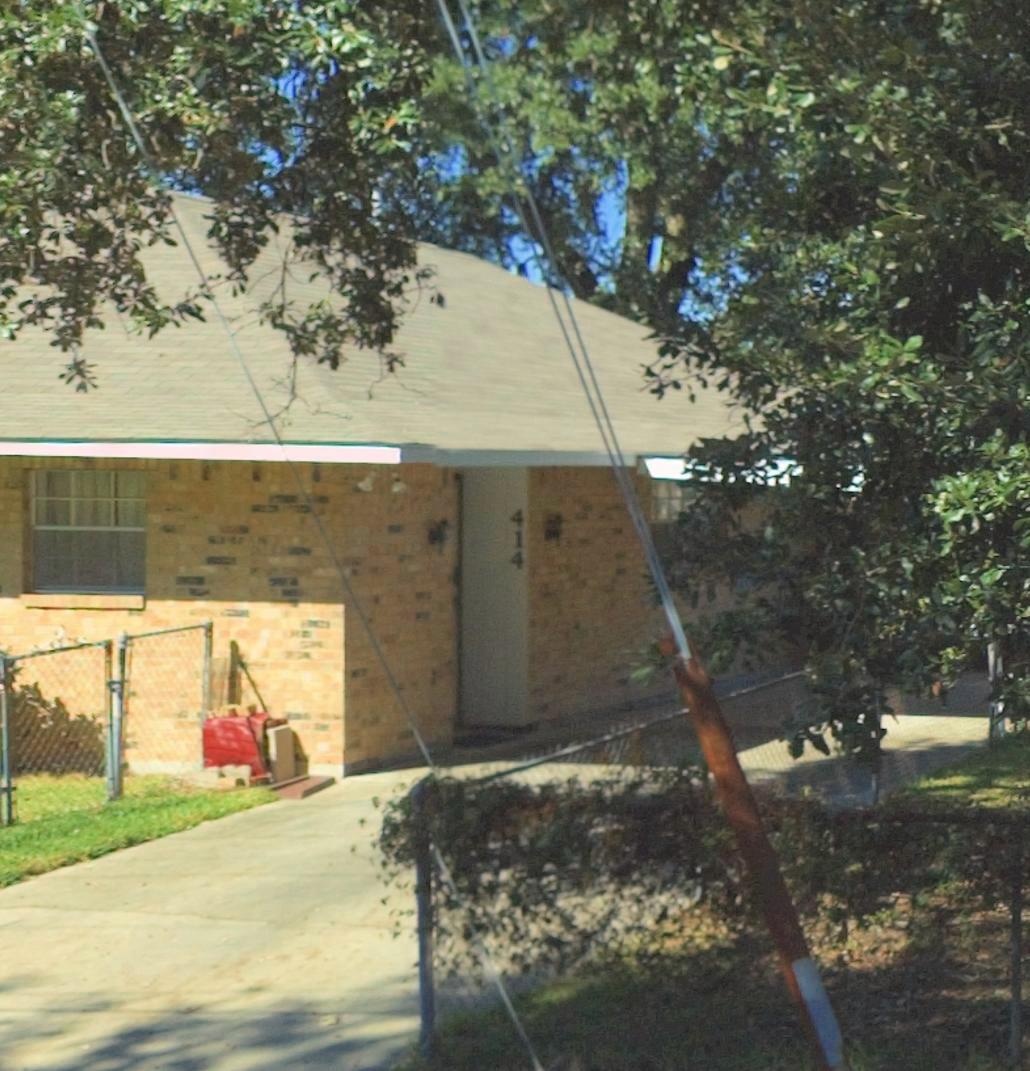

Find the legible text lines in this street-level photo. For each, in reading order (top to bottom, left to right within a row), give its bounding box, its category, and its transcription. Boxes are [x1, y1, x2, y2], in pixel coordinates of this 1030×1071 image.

[509, 507, 525, 571] StreetNumber: 414